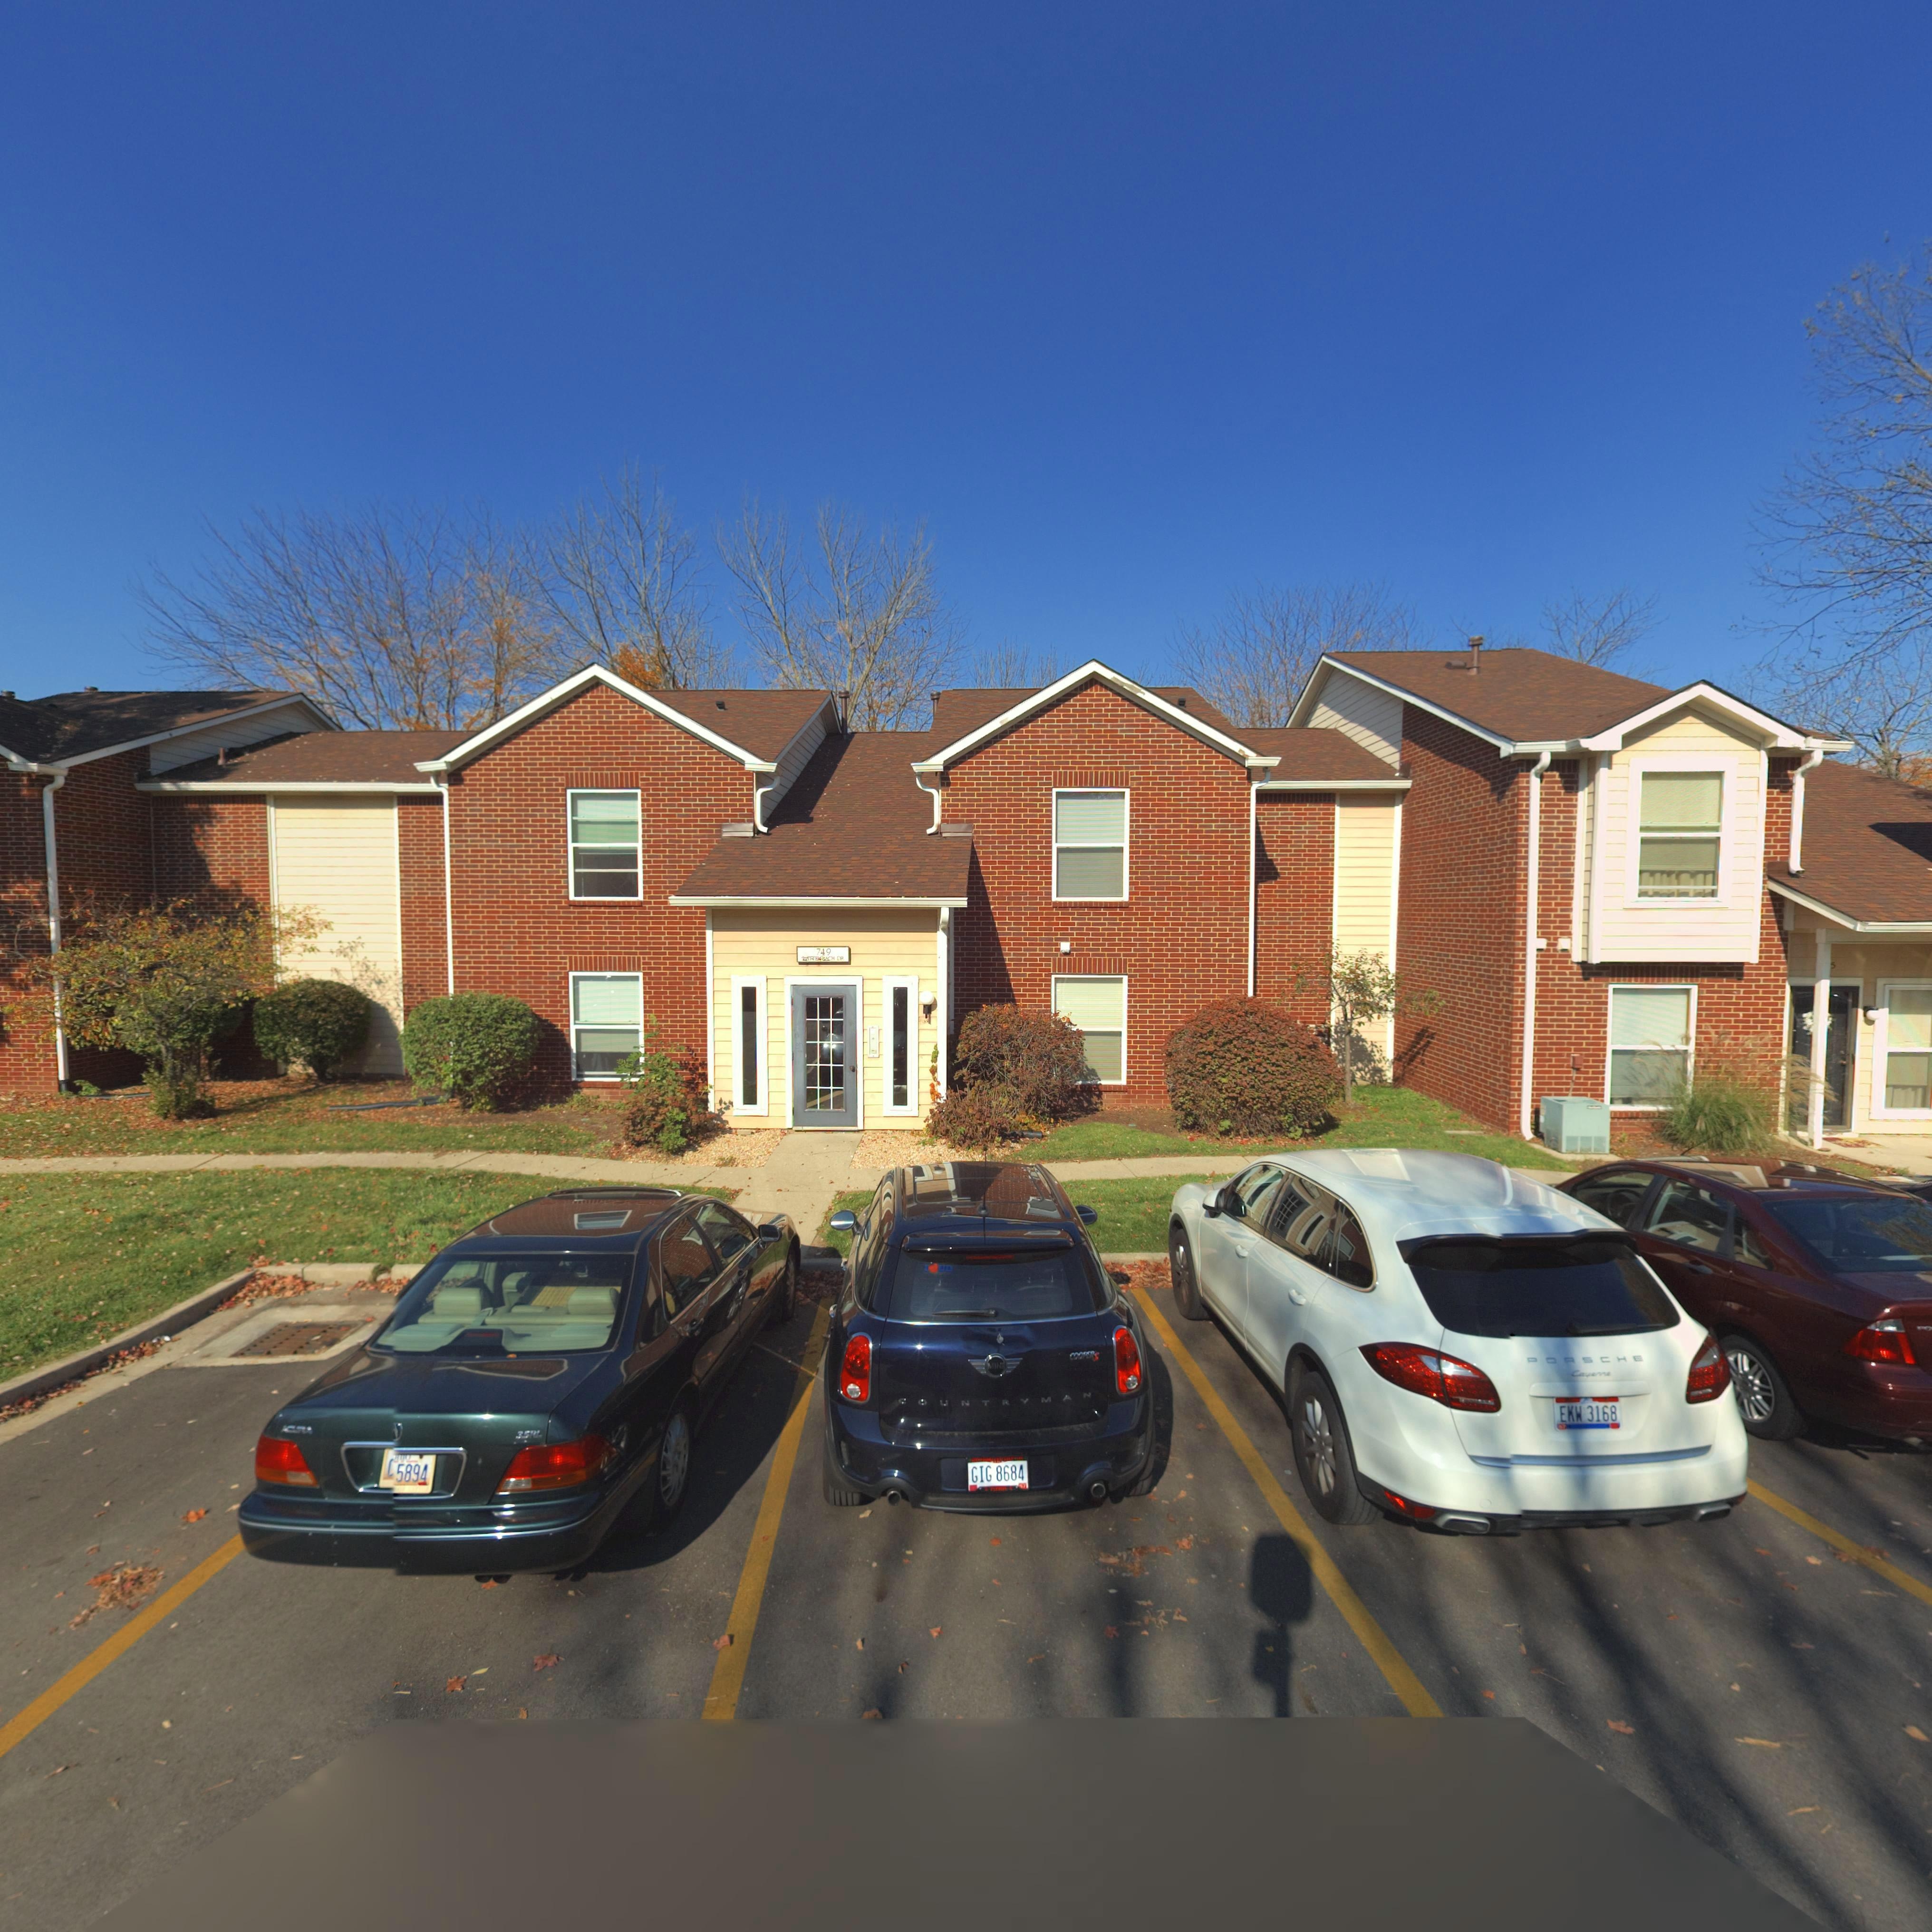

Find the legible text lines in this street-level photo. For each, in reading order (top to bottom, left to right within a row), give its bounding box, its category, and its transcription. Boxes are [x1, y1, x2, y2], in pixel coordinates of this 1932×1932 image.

[815, 947, 833, 957] StreetNumber: 749
[987, 1361, 1005, 1371] None: MINI
[1067, 1349, 1101, 1363] None: COOPER S
[1524, 1353, 1646, 1366] None: PORSCHE
[897, 1390, 1093, 1409] None: COUNTRYMAN
[1557, 1402, 1620, 1425] None: EKW 3168
[393, 1461, 430, 1484] None: 5894
[970, 1461, 1026, 1485] None: GIG 8684